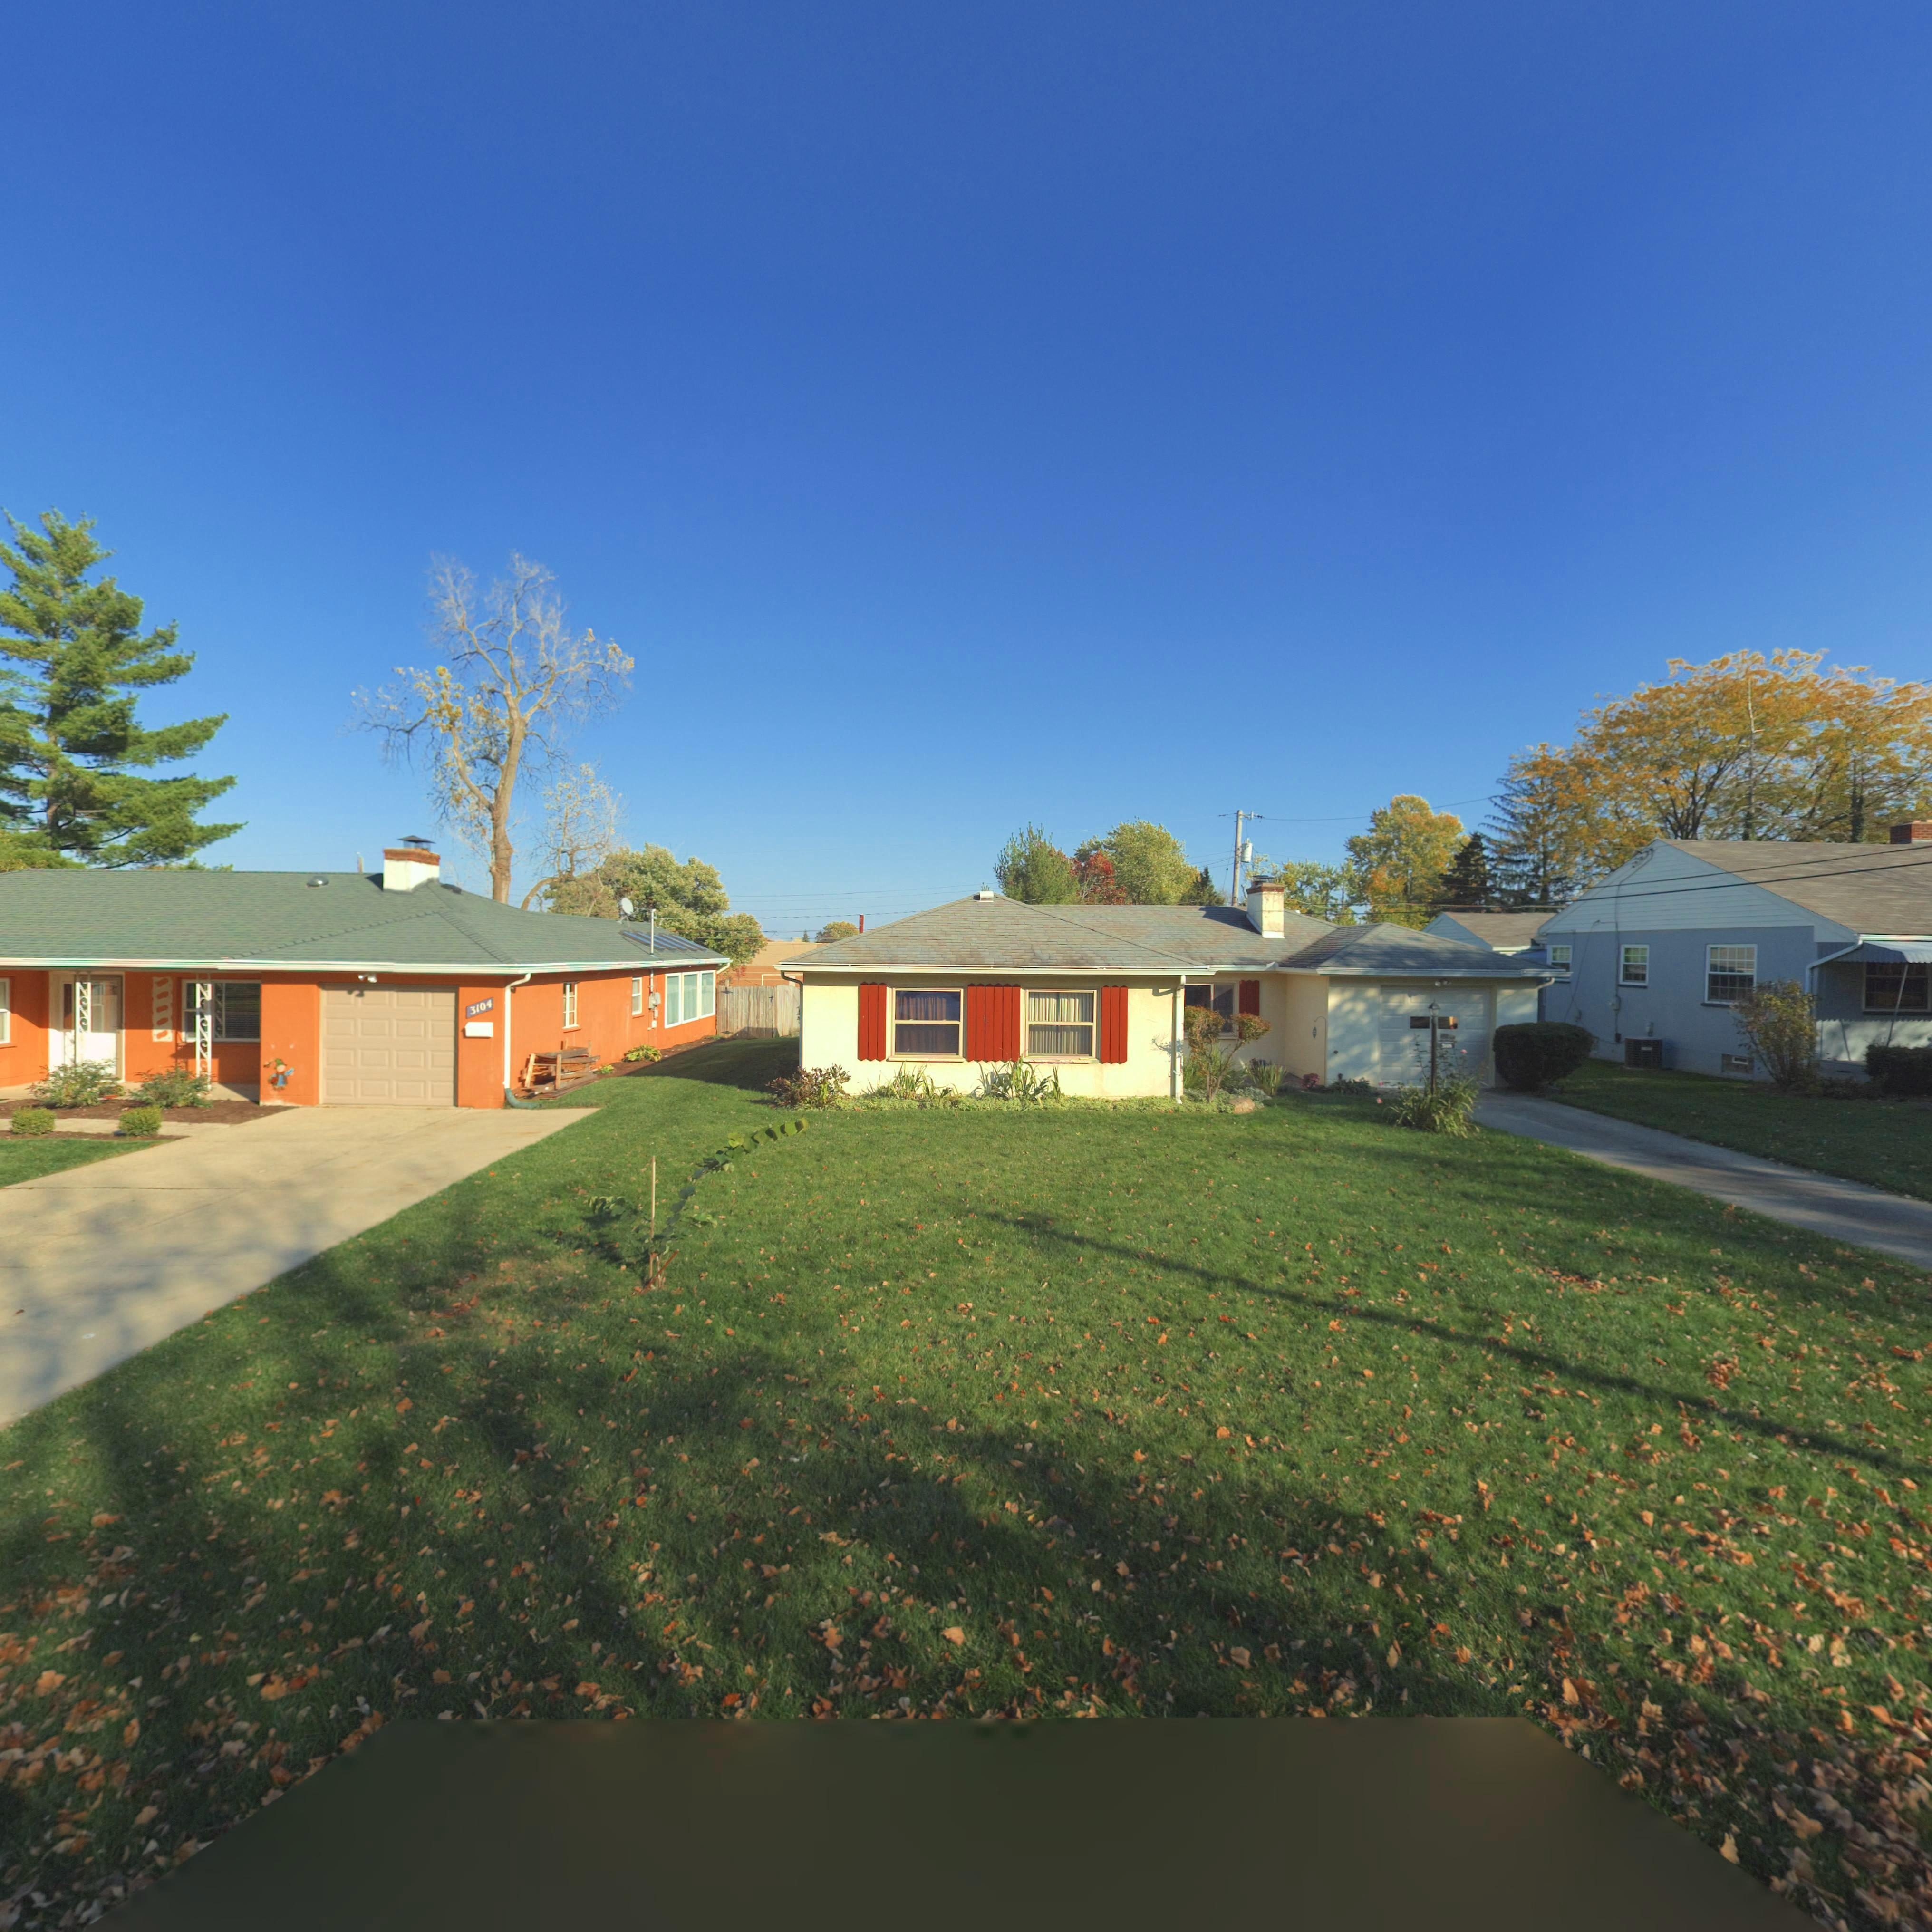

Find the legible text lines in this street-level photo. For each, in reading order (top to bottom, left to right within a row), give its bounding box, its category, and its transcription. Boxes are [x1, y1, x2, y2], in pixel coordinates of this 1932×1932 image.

[469, 997, 493, 1016] StreetNumber: 3104